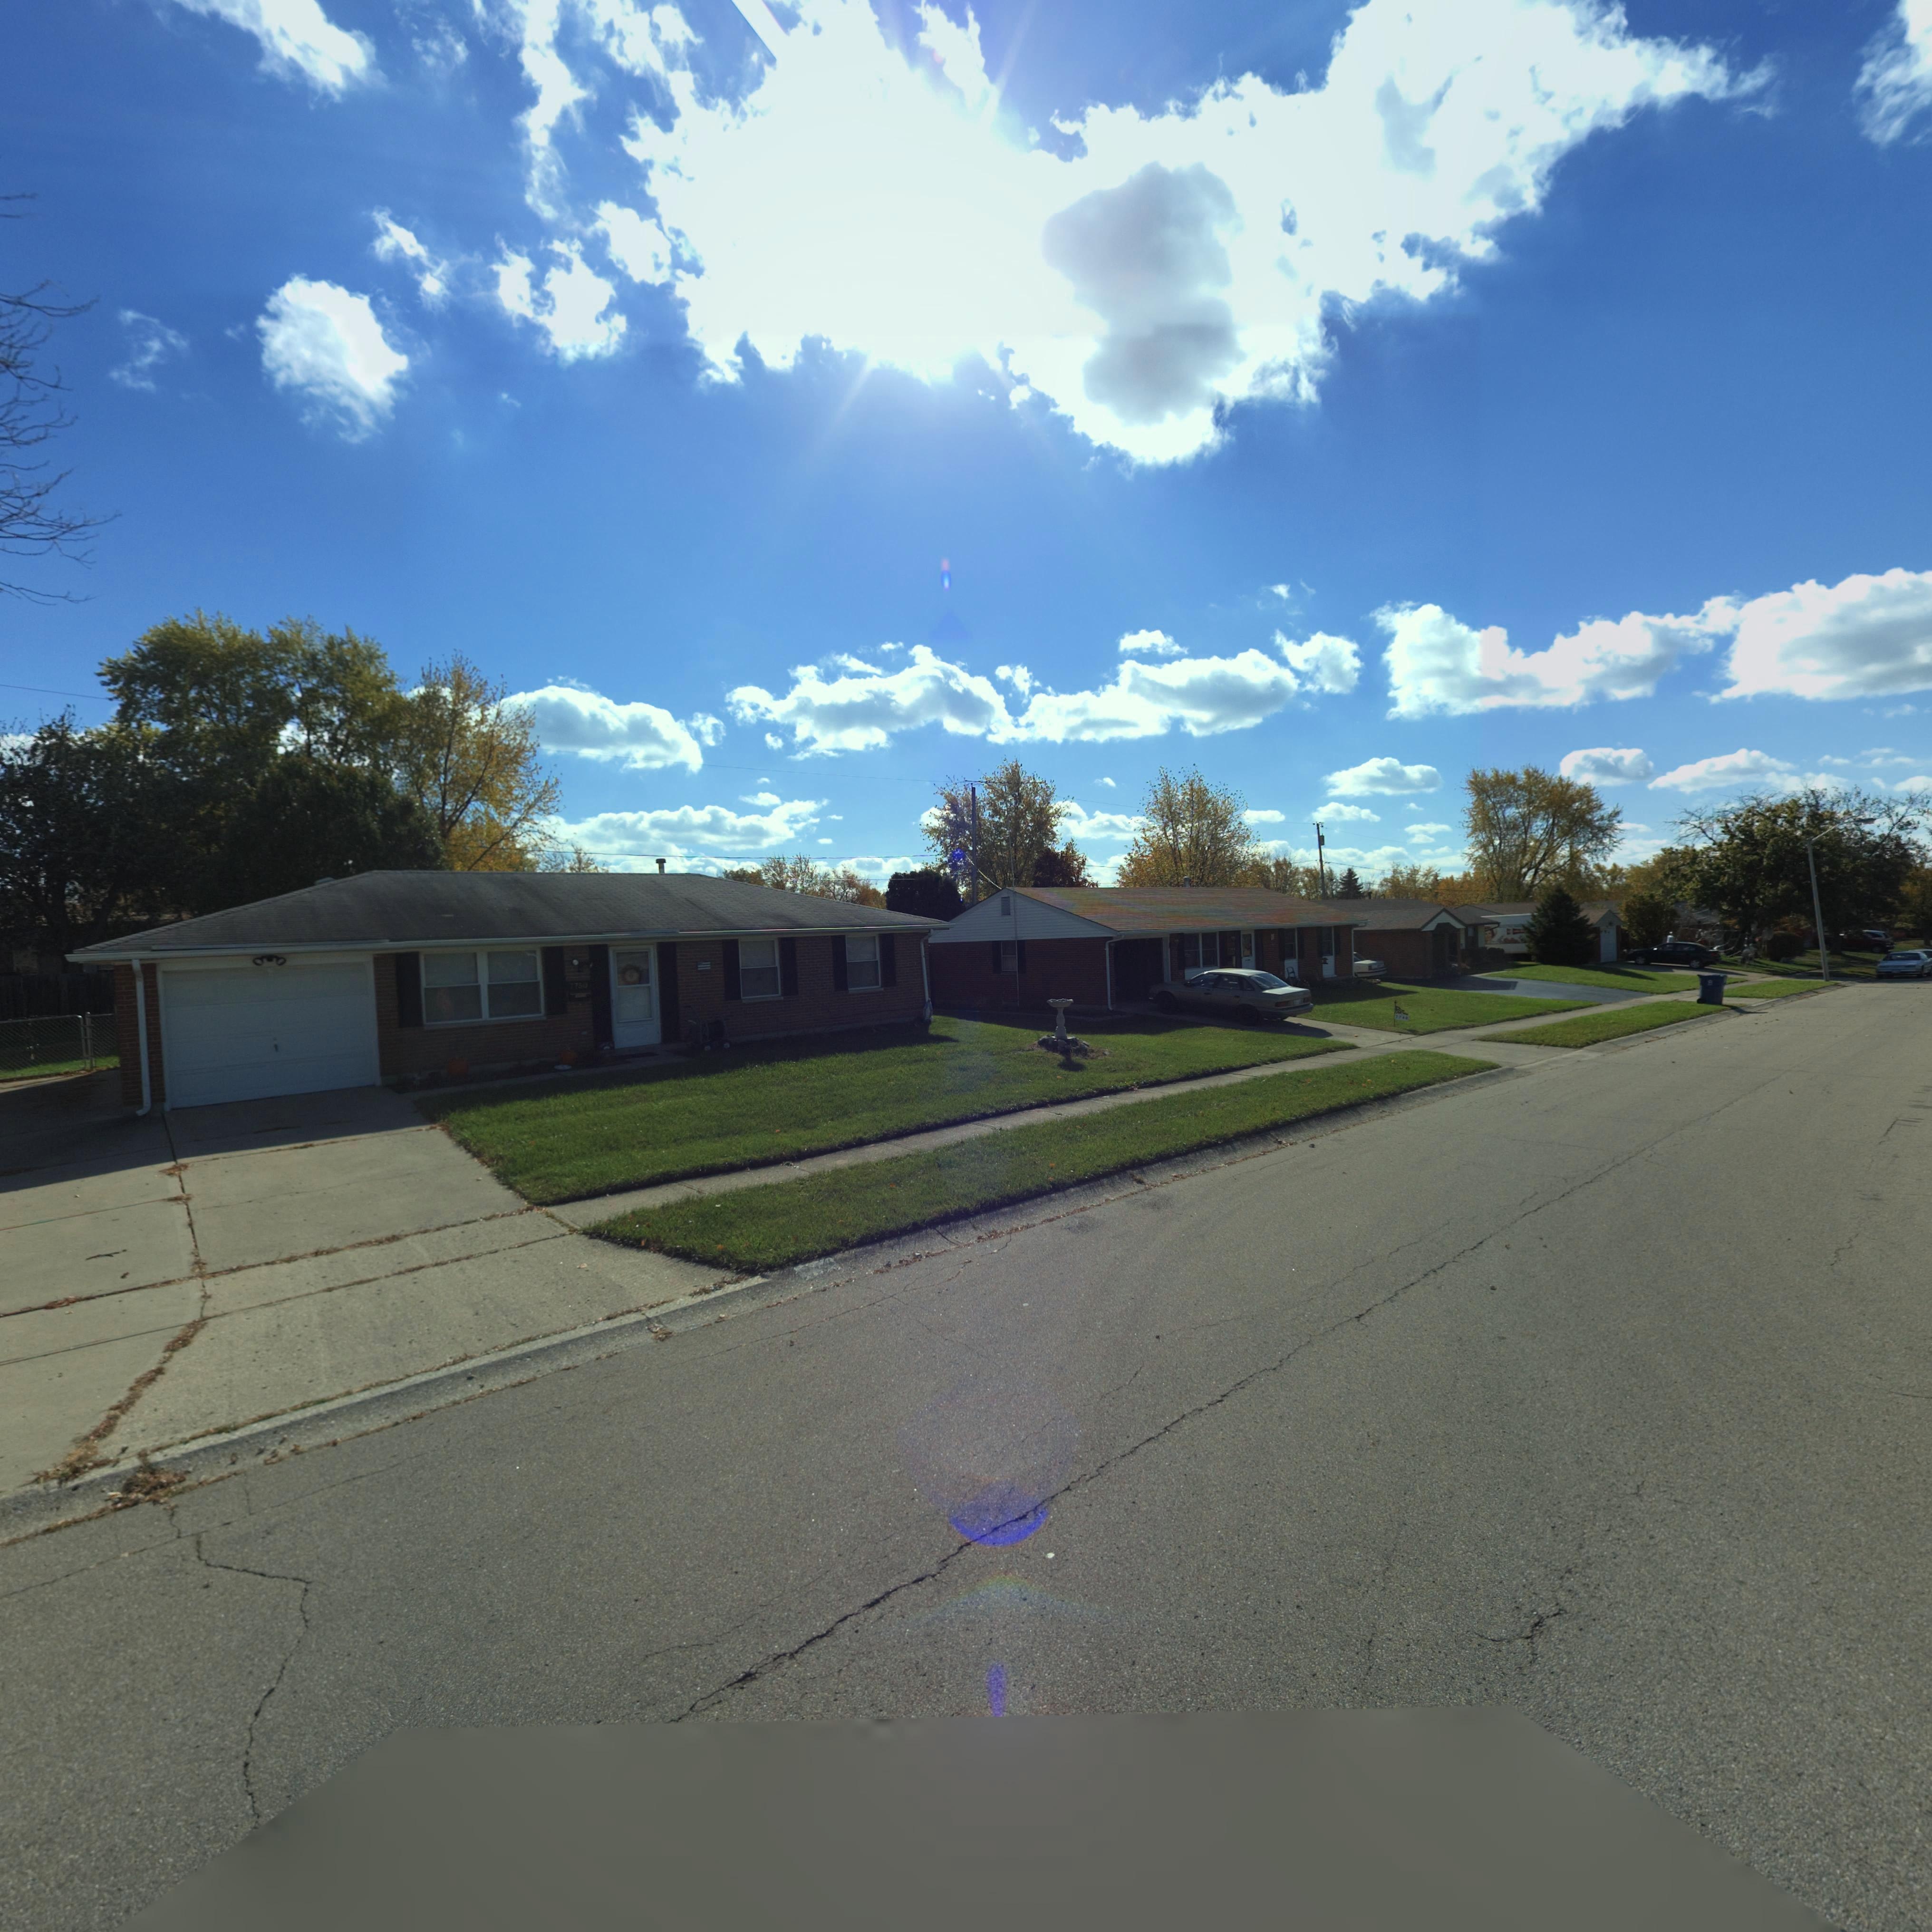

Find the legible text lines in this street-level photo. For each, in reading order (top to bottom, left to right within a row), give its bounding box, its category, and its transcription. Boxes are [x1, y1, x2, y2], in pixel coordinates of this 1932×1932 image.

[569, 982, 589, 990] StreetNumber: 7750